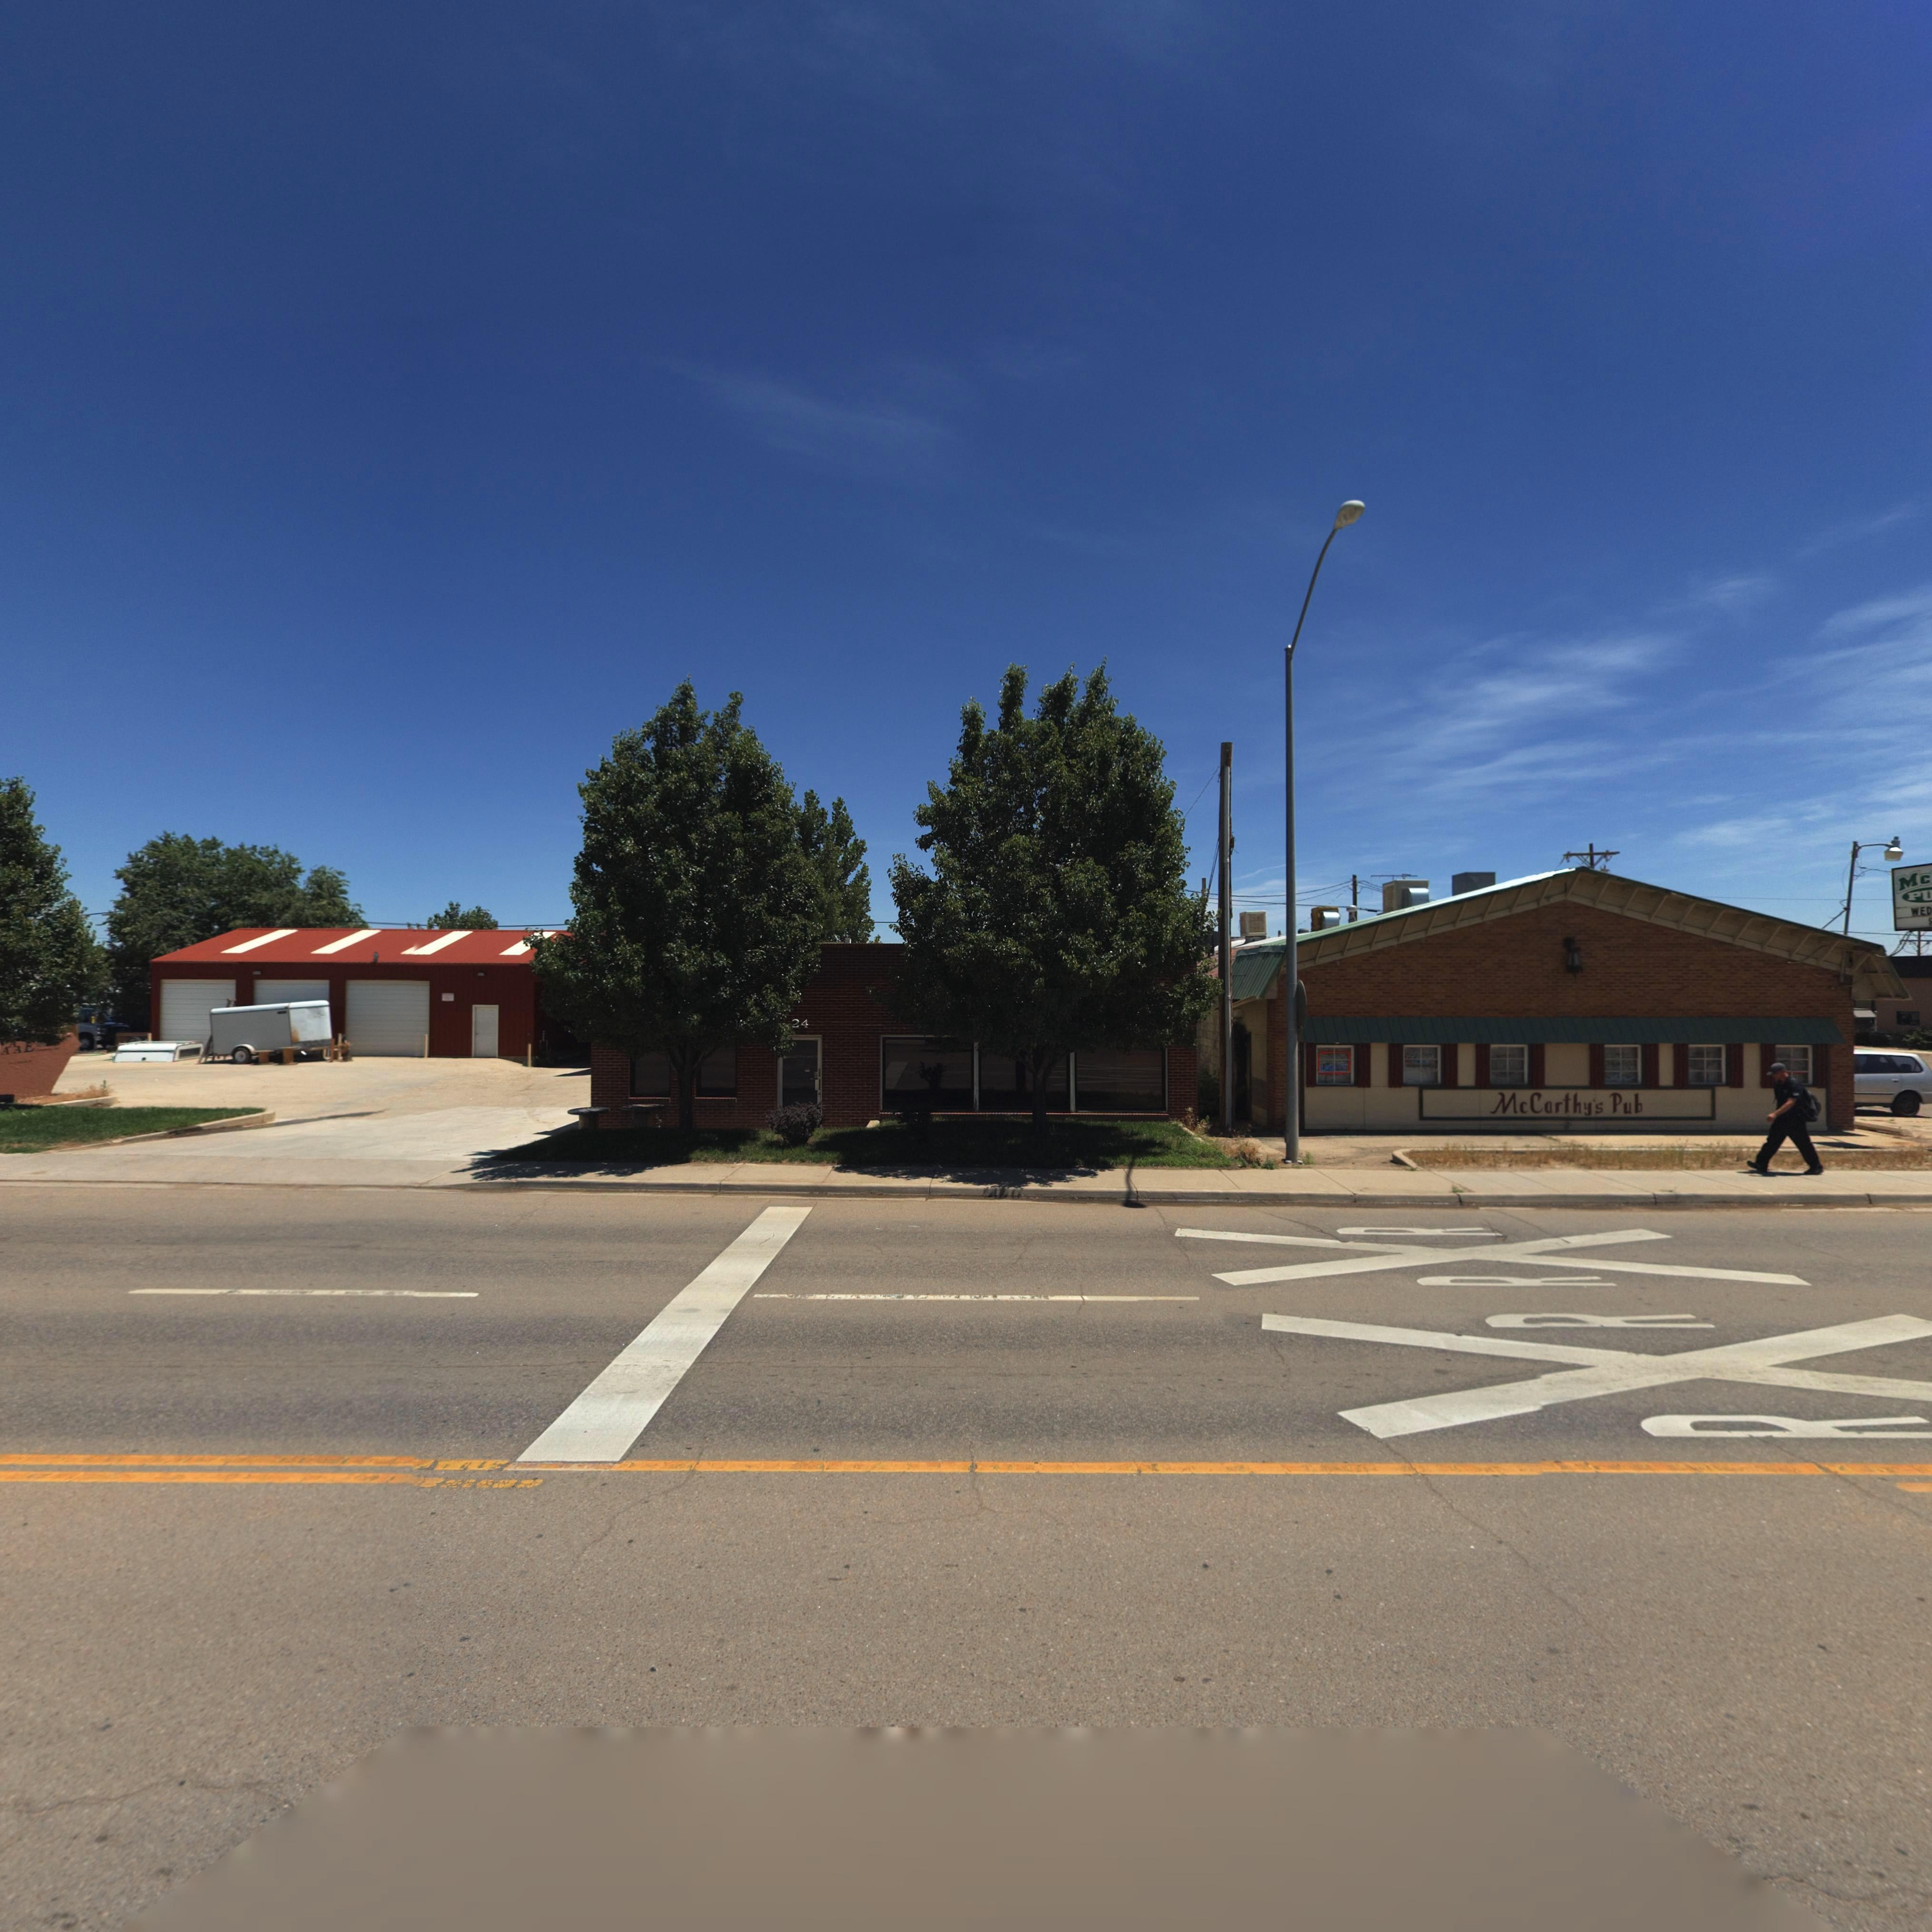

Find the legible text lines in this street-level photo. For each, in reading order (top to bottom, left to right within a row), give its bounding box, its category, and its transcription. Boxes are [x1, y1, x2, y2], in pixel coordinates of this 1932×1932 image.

[1897, 870, 1931, 892] BusinessName: Mc
[1907, 890, 1922, 901] BusinessName: P
[790, 1017, 810, 1029] StreetNumber: 24
[1488, 1091, 1643, 1116] BusinessName: McCarthy's Pub